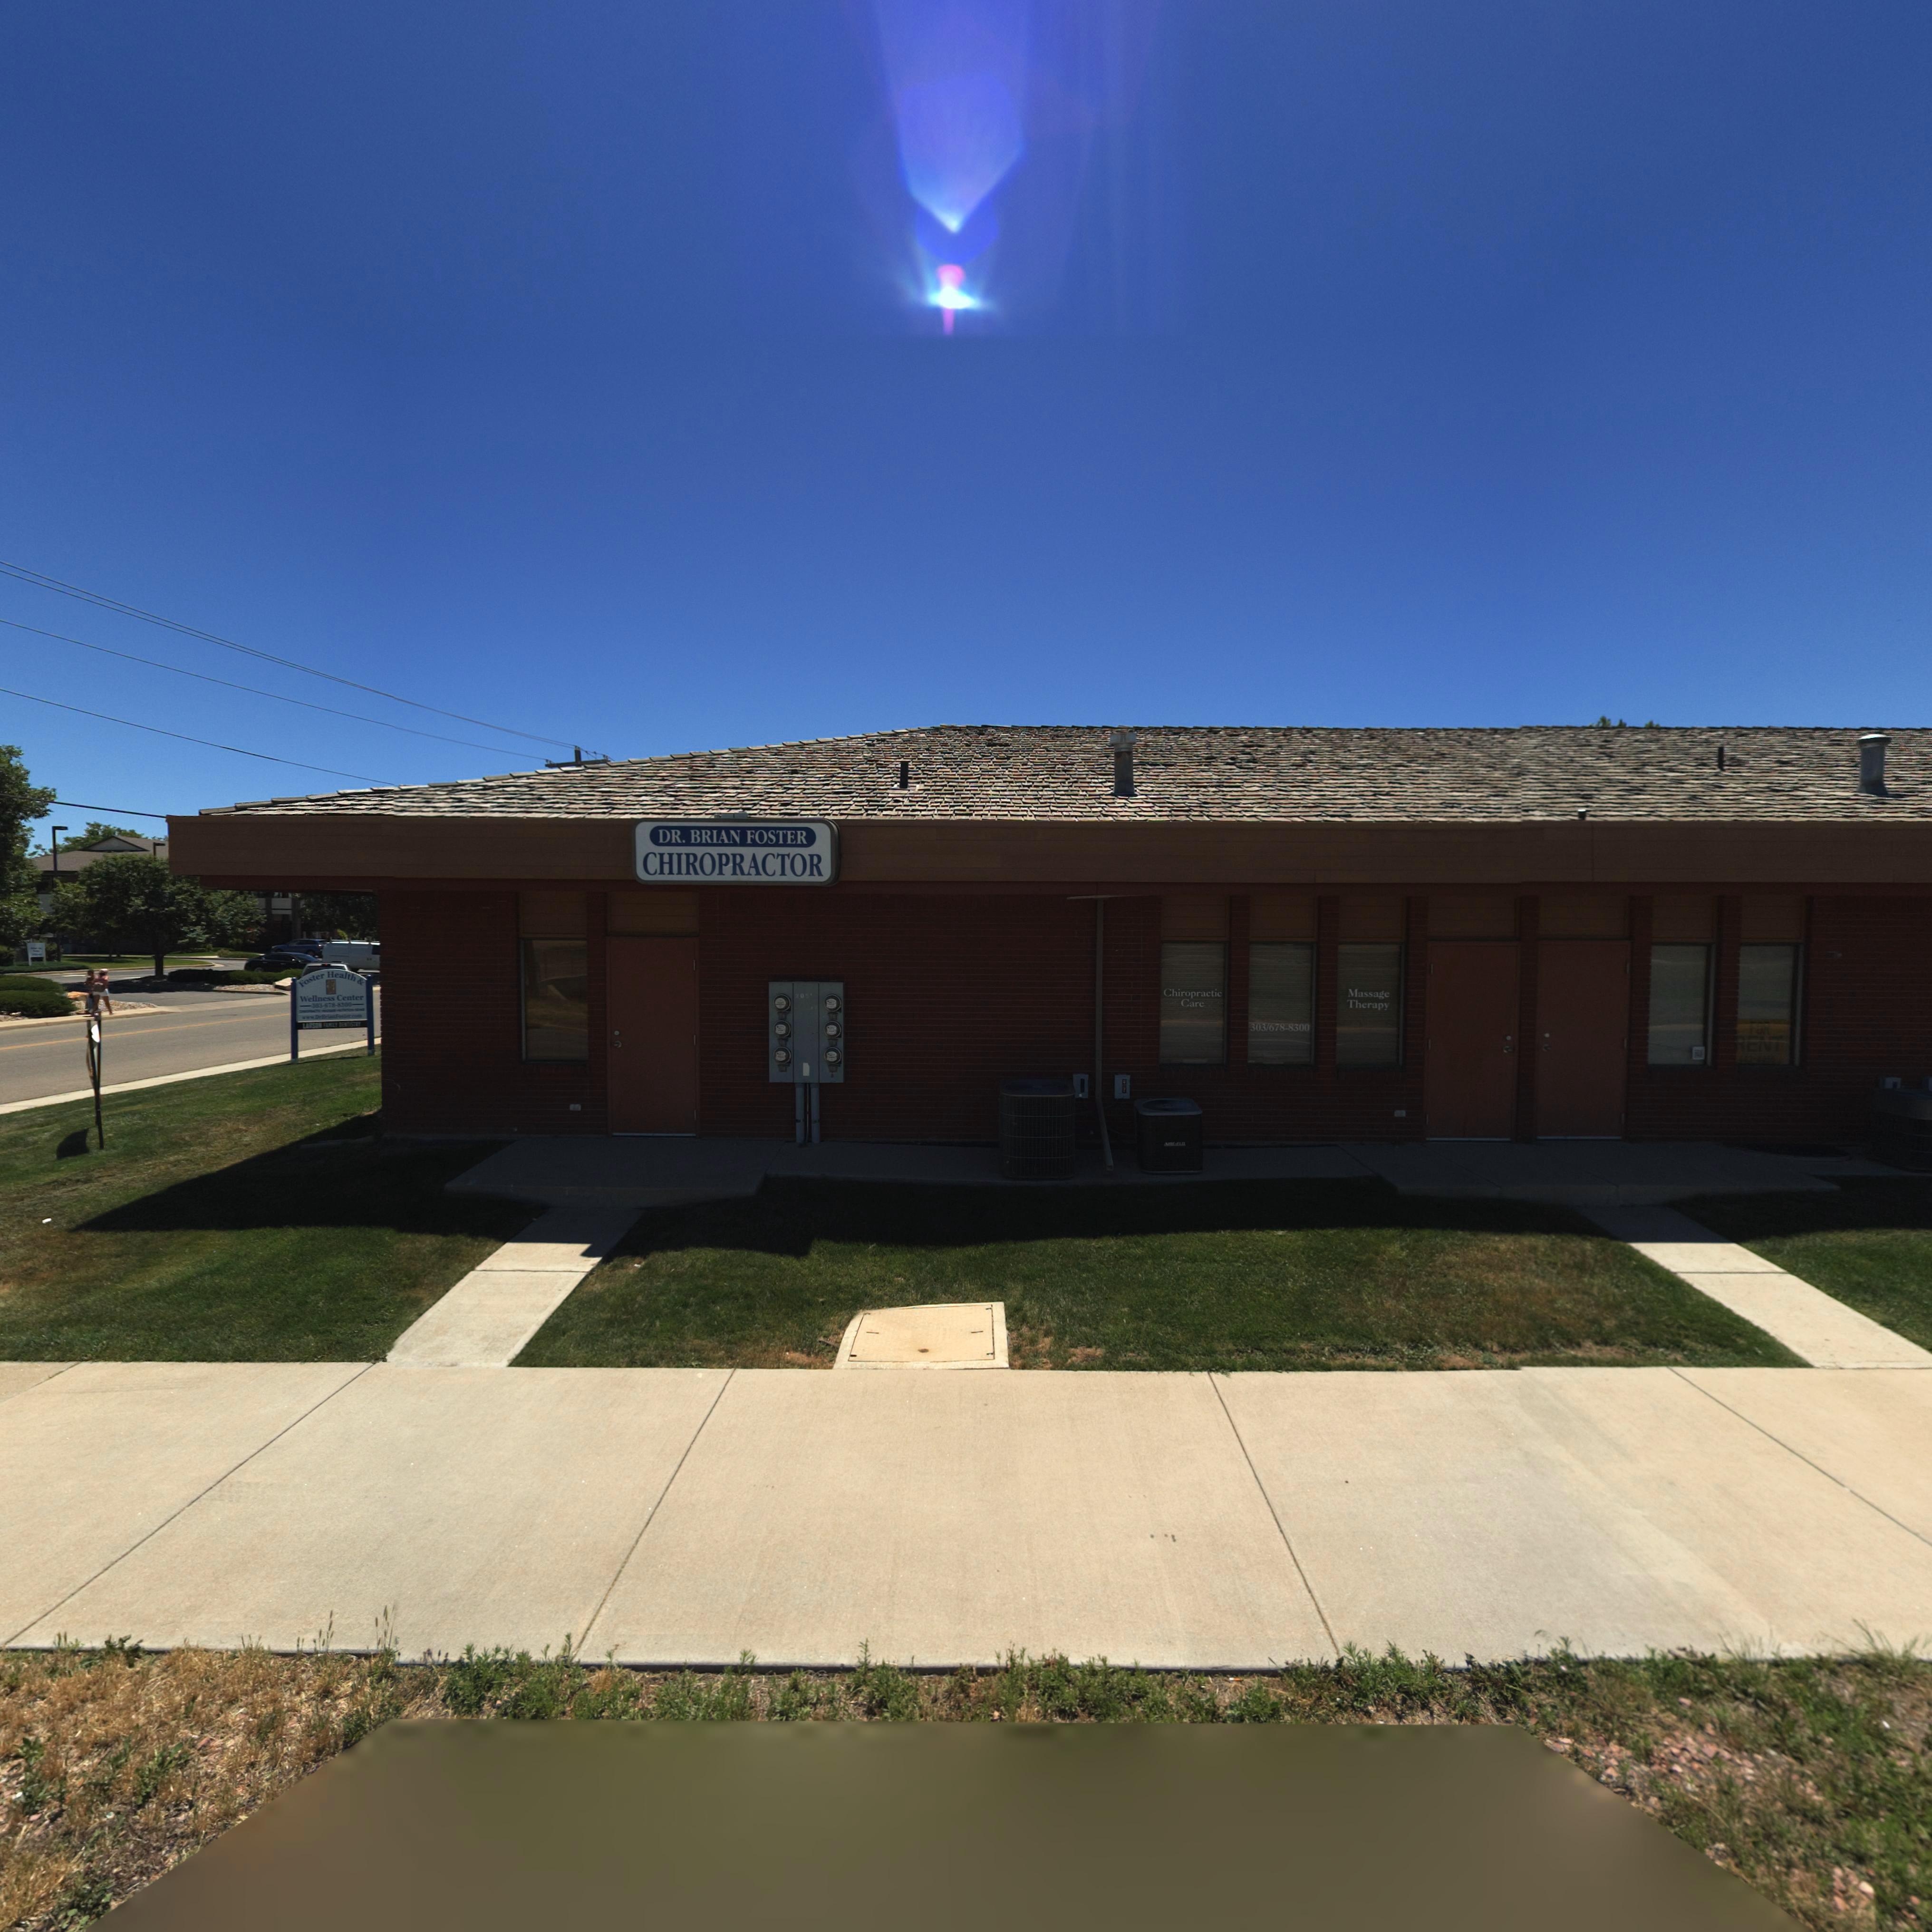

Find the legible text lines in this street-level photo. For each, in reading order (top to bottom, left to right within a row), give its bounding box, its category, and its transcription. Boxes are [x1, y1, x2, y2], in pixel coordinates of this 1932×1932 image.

[657, 828, 809, 845] BusinessName: DR. BRIAN FOSTER
[641, 850, 826, 878] BusinessName: CHIROPRACTOR
[297, 971, 366, 987] BusinessName: Foster Health &
[298, 994, 365, 1003] BusinessName: Wellness Center